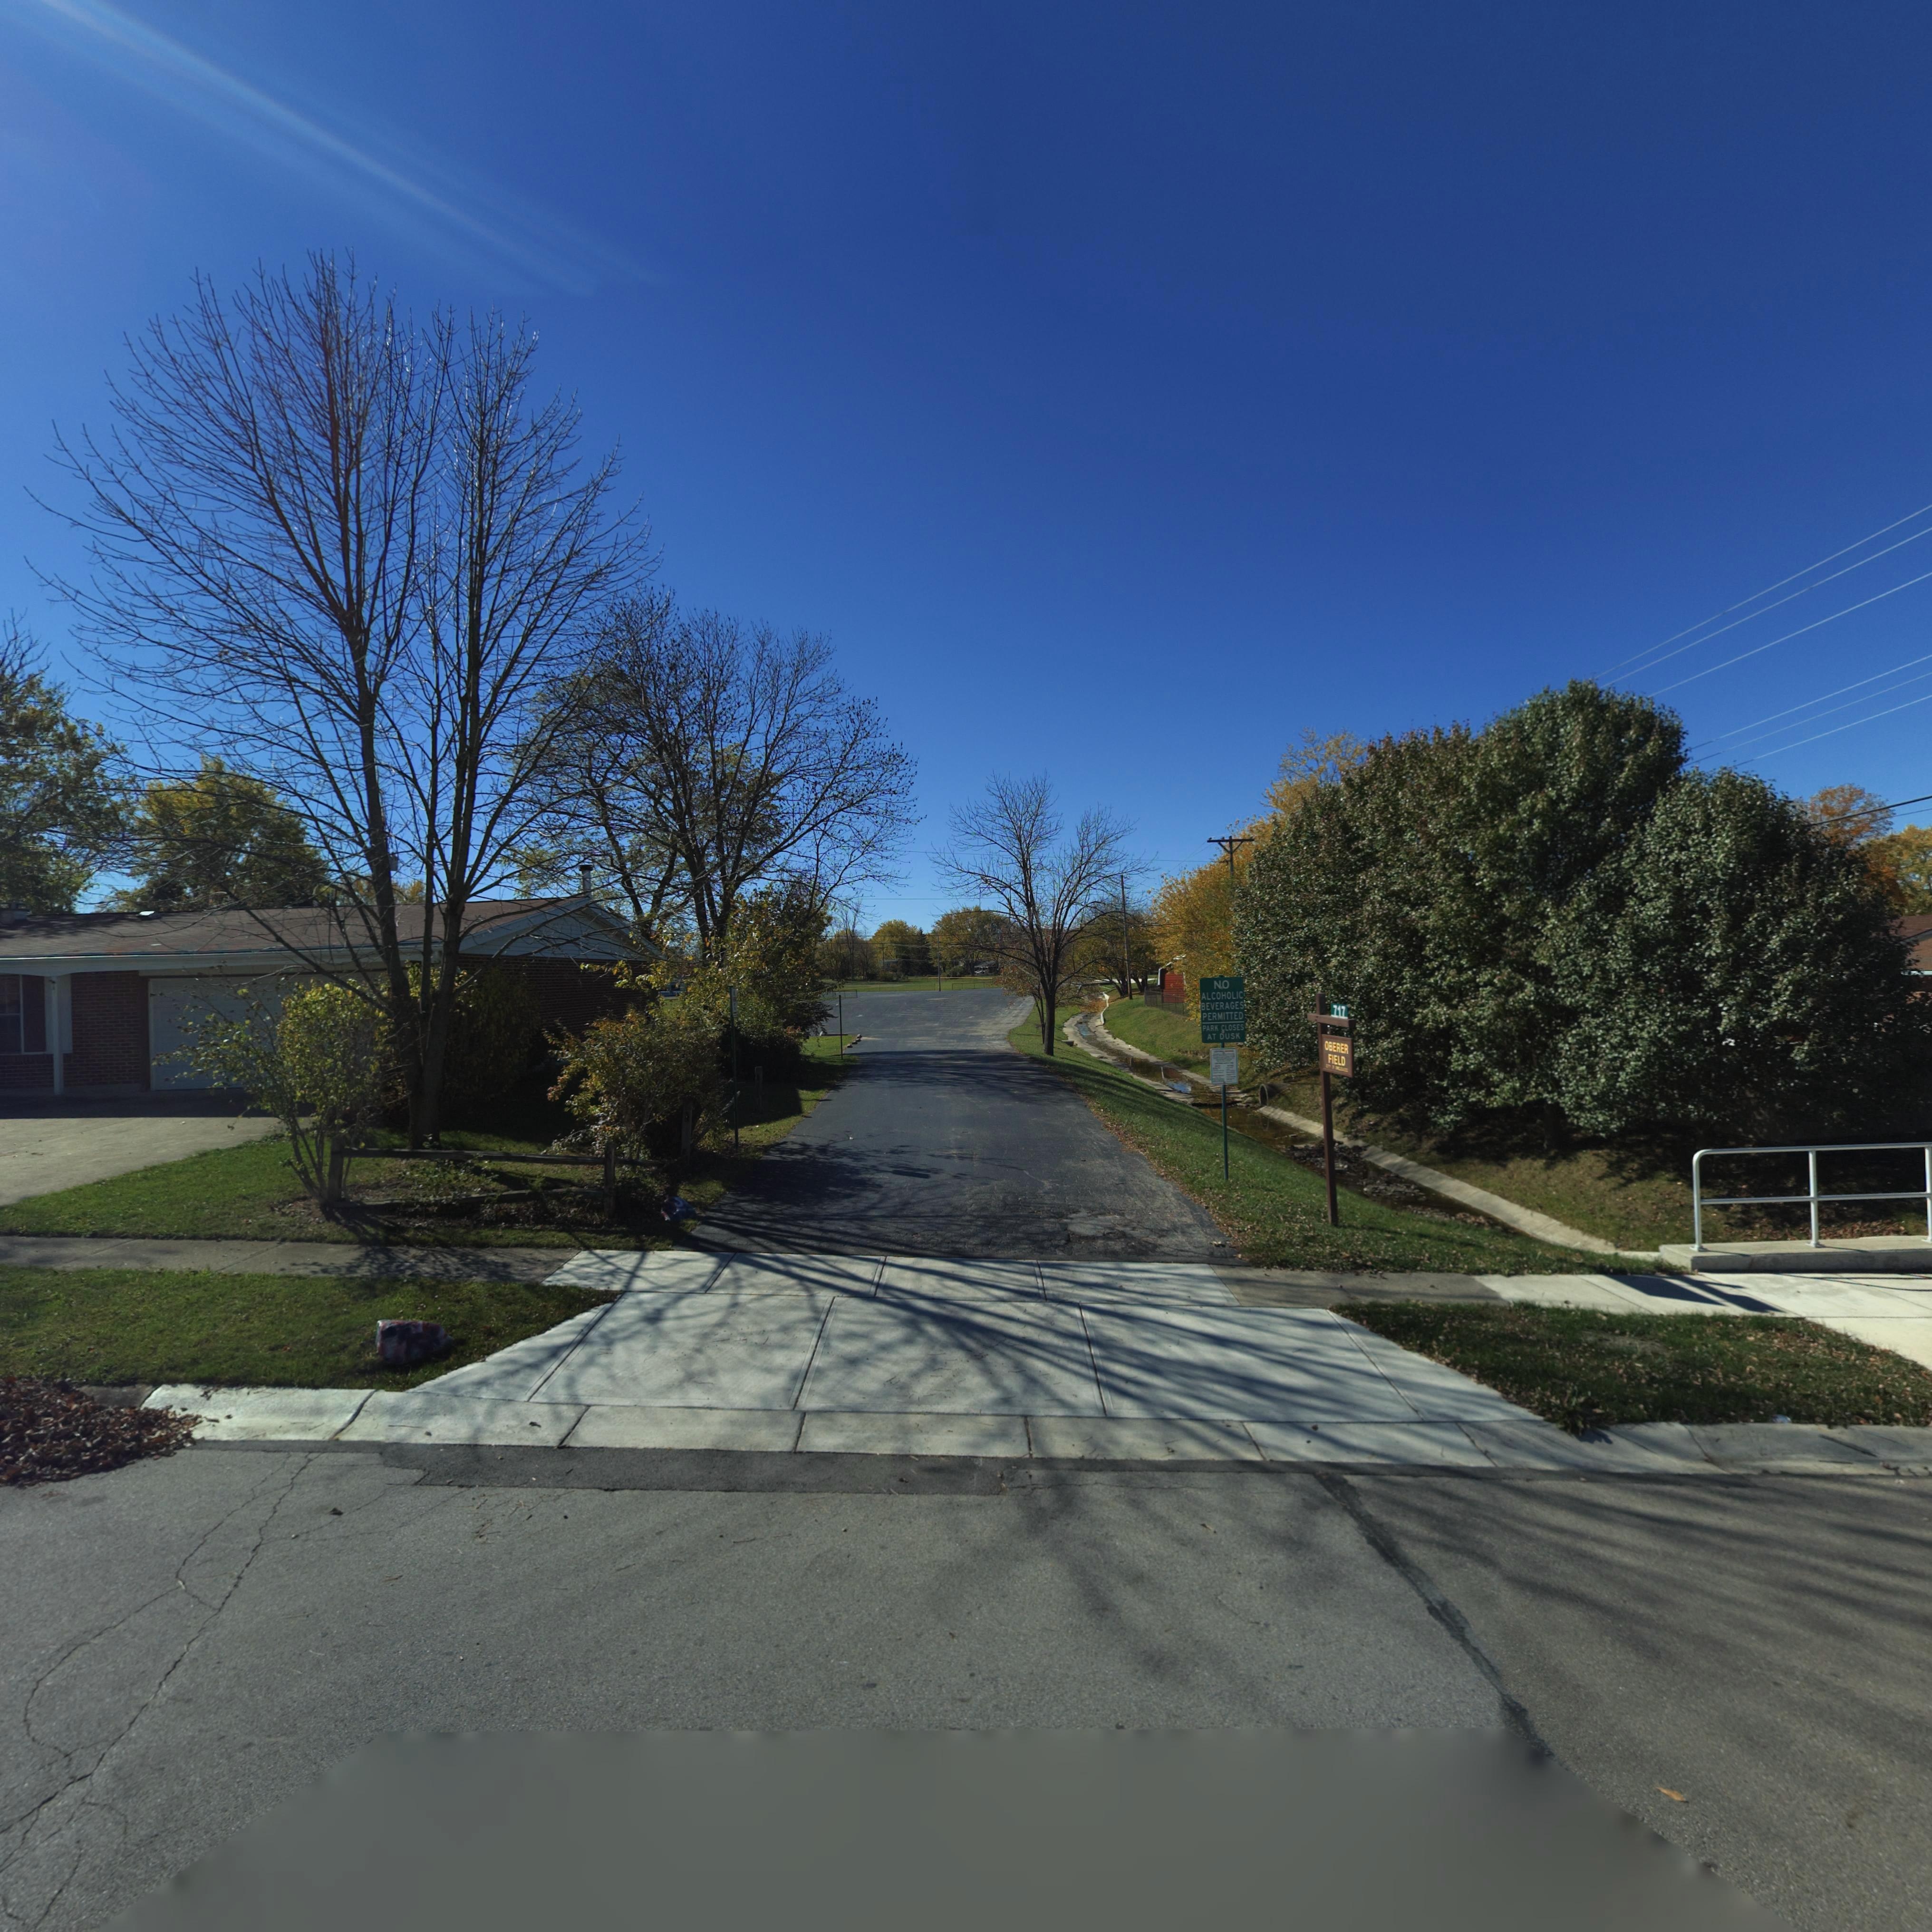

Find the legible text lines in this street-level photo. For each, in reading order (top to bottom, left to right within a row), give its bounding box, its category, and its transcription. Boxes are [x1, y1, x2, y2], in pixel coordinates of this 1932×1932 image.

[1332, 1004, 1346, 1017] StreetNumber: 717